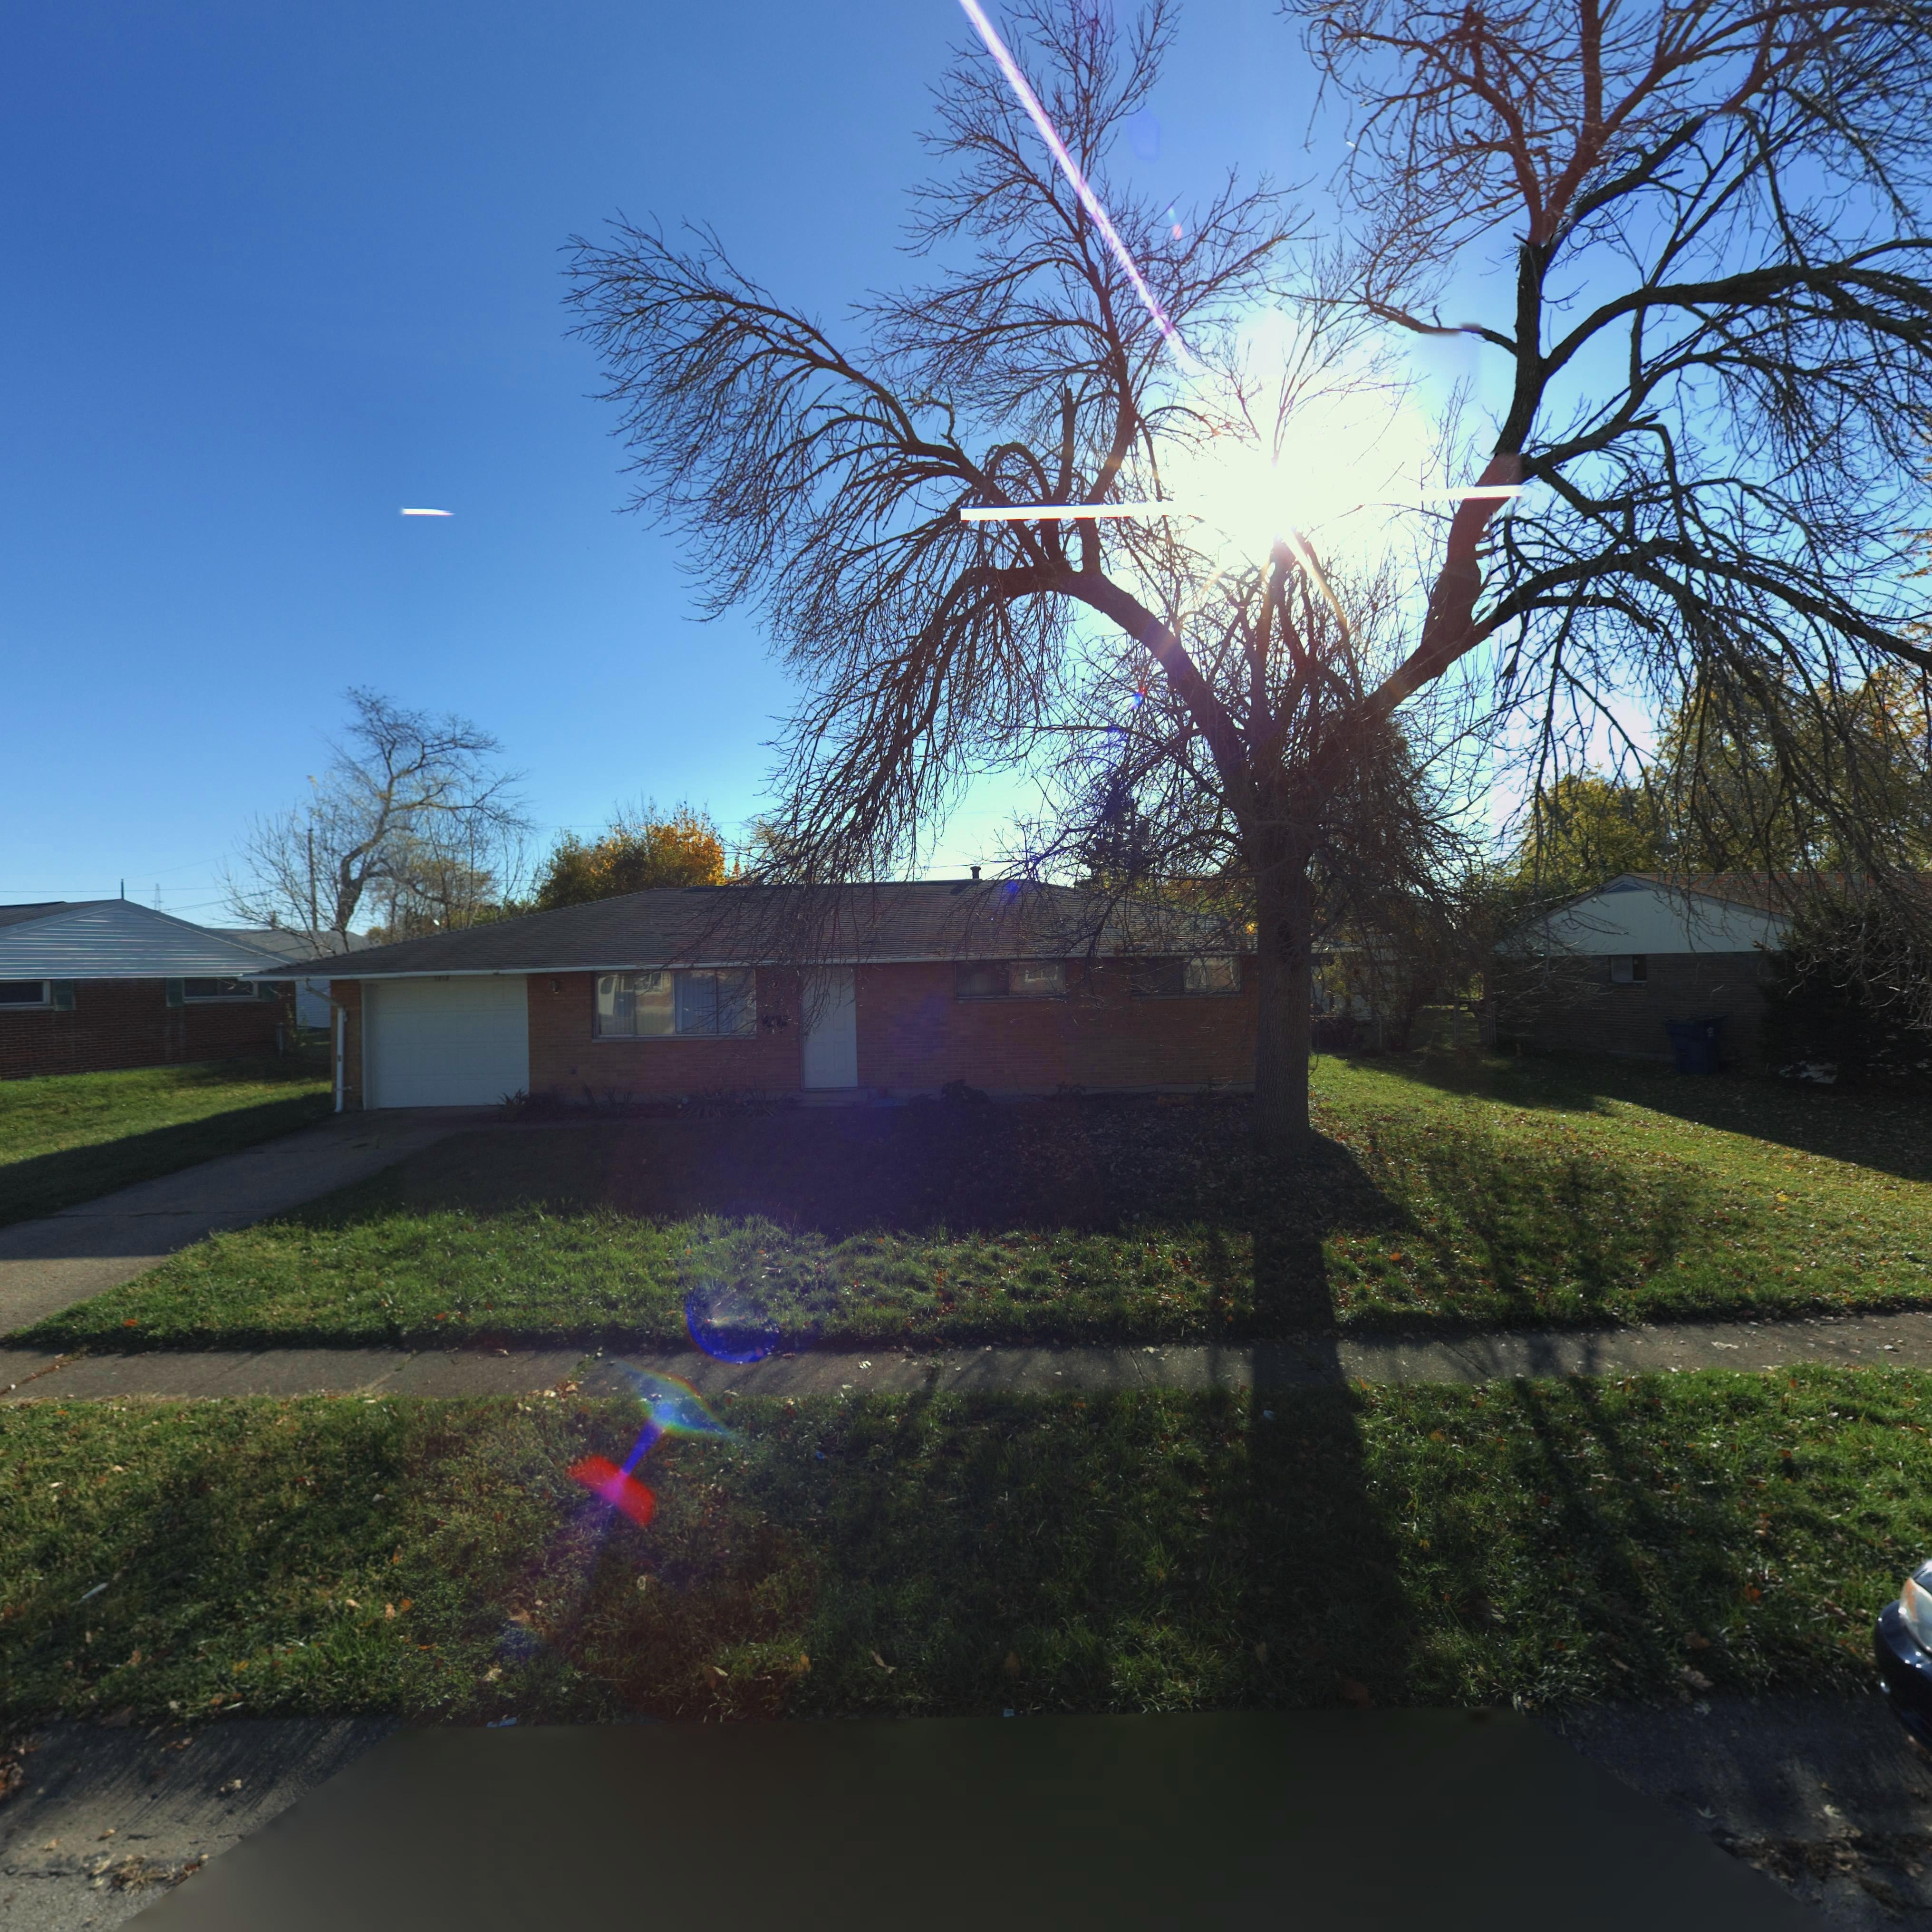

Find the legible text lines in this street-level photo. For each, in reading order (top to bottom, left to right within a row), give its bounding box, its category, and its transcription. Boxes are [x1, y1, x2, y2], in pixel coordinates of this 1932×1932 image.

[433, 975, 450, 982] StreetNumber: 7818